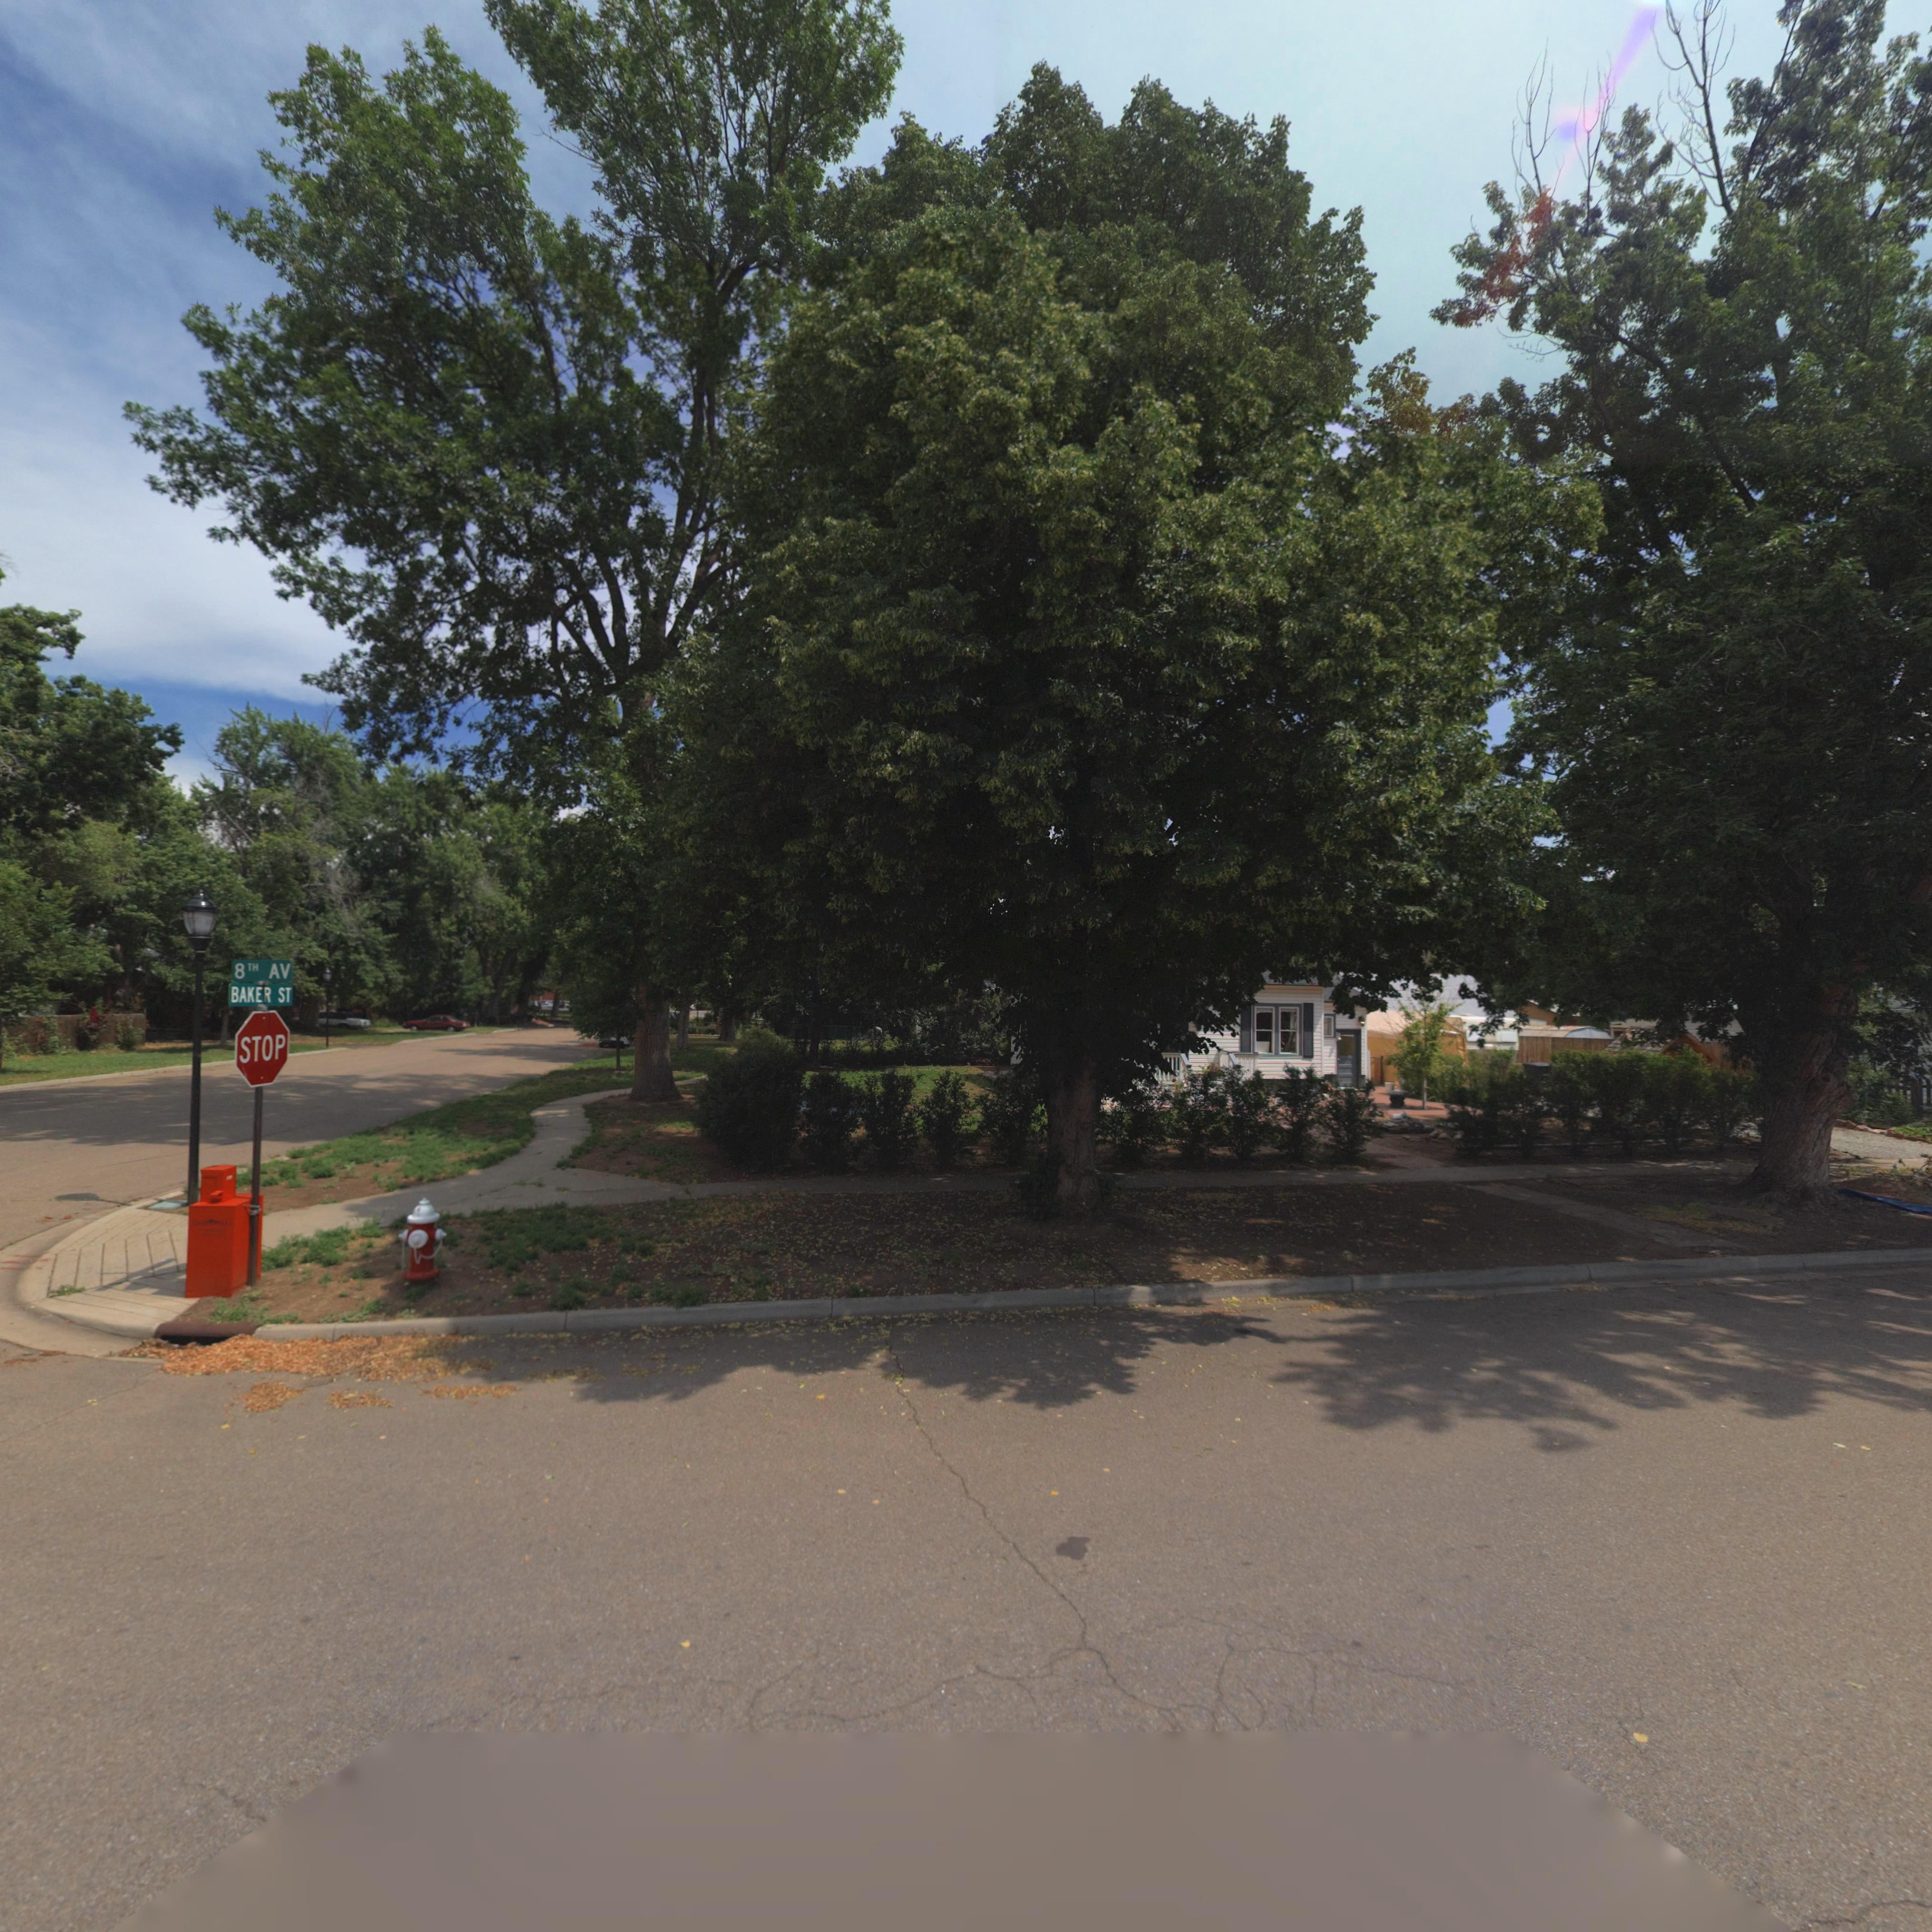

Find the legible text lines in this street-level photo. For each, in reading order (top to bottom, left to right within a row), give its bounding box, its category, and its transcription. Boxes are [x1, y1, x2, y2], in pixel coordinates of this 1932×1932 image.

[233, 963, 291, 979] StreetName: 8TH AV
[231, 986, 292, 1003] StreetName: BAKER ST